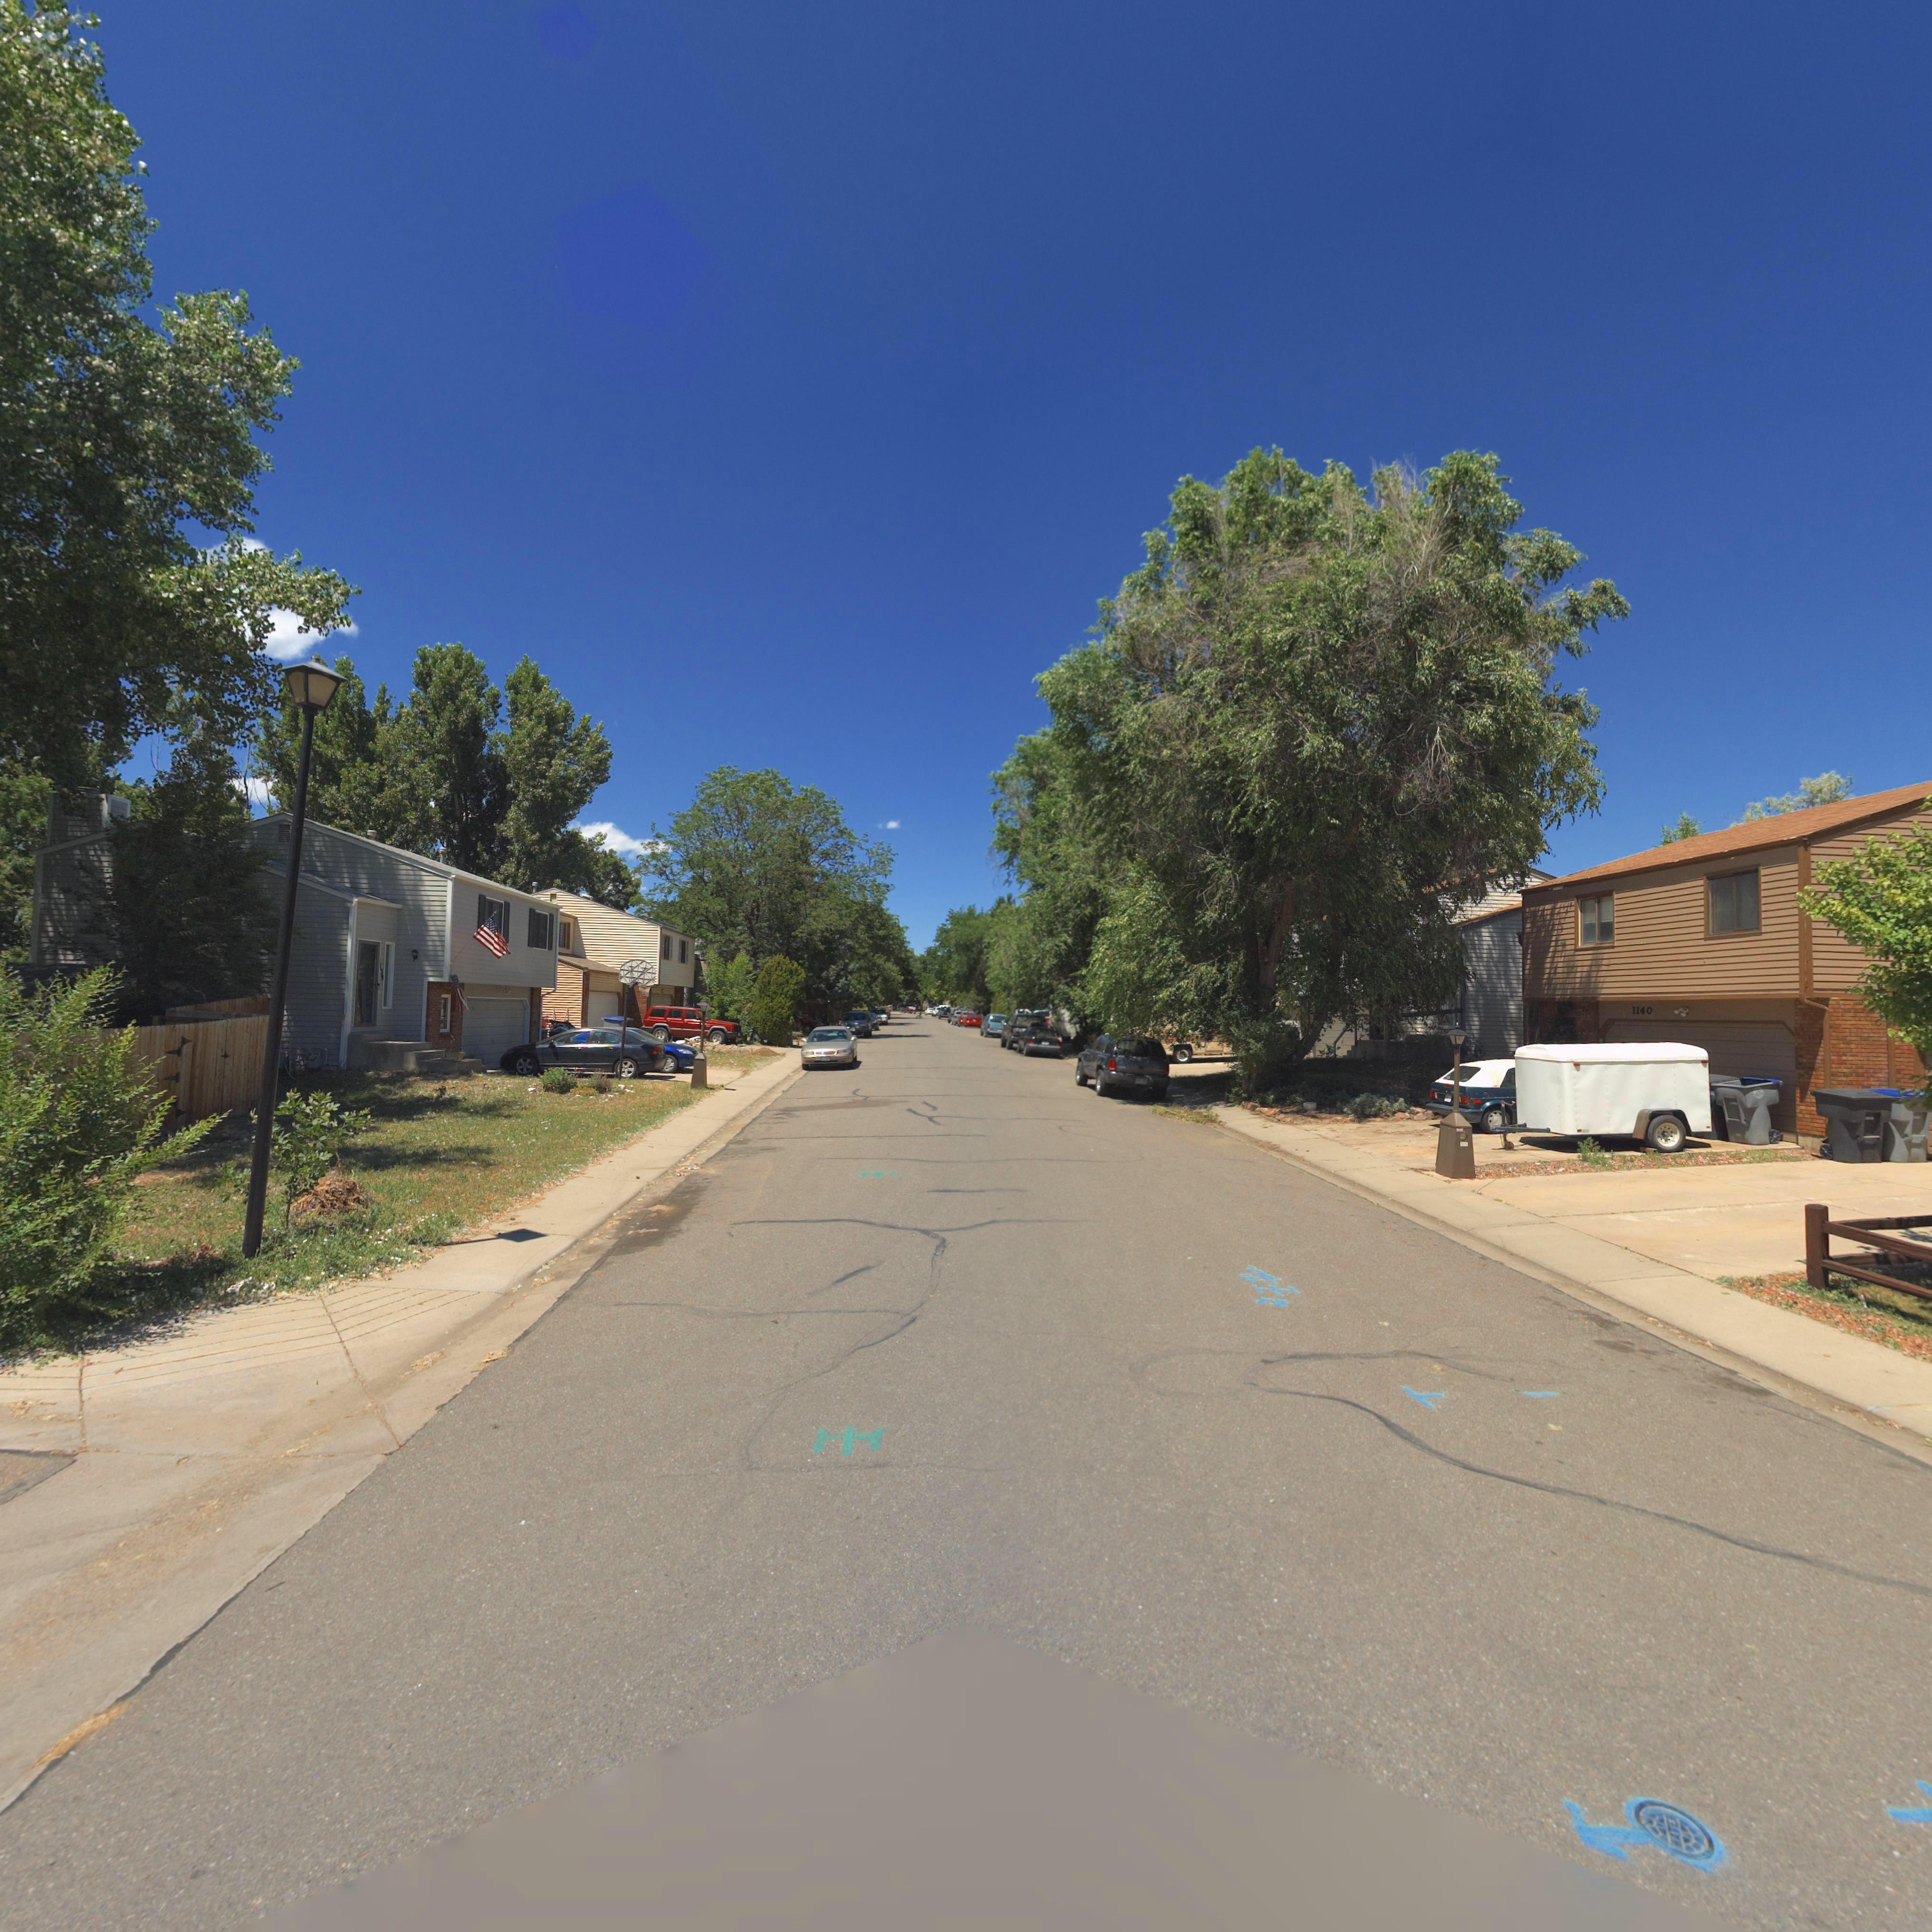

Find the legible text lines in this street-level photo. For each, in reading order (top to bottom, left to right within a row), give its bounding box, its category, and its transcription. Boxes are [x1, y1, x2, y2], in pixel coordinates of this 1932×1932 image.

[379, 962, 383, 980] StreetNumber: 13*
[1632, 1006, 1652, 1014] StreetNumber: 1140